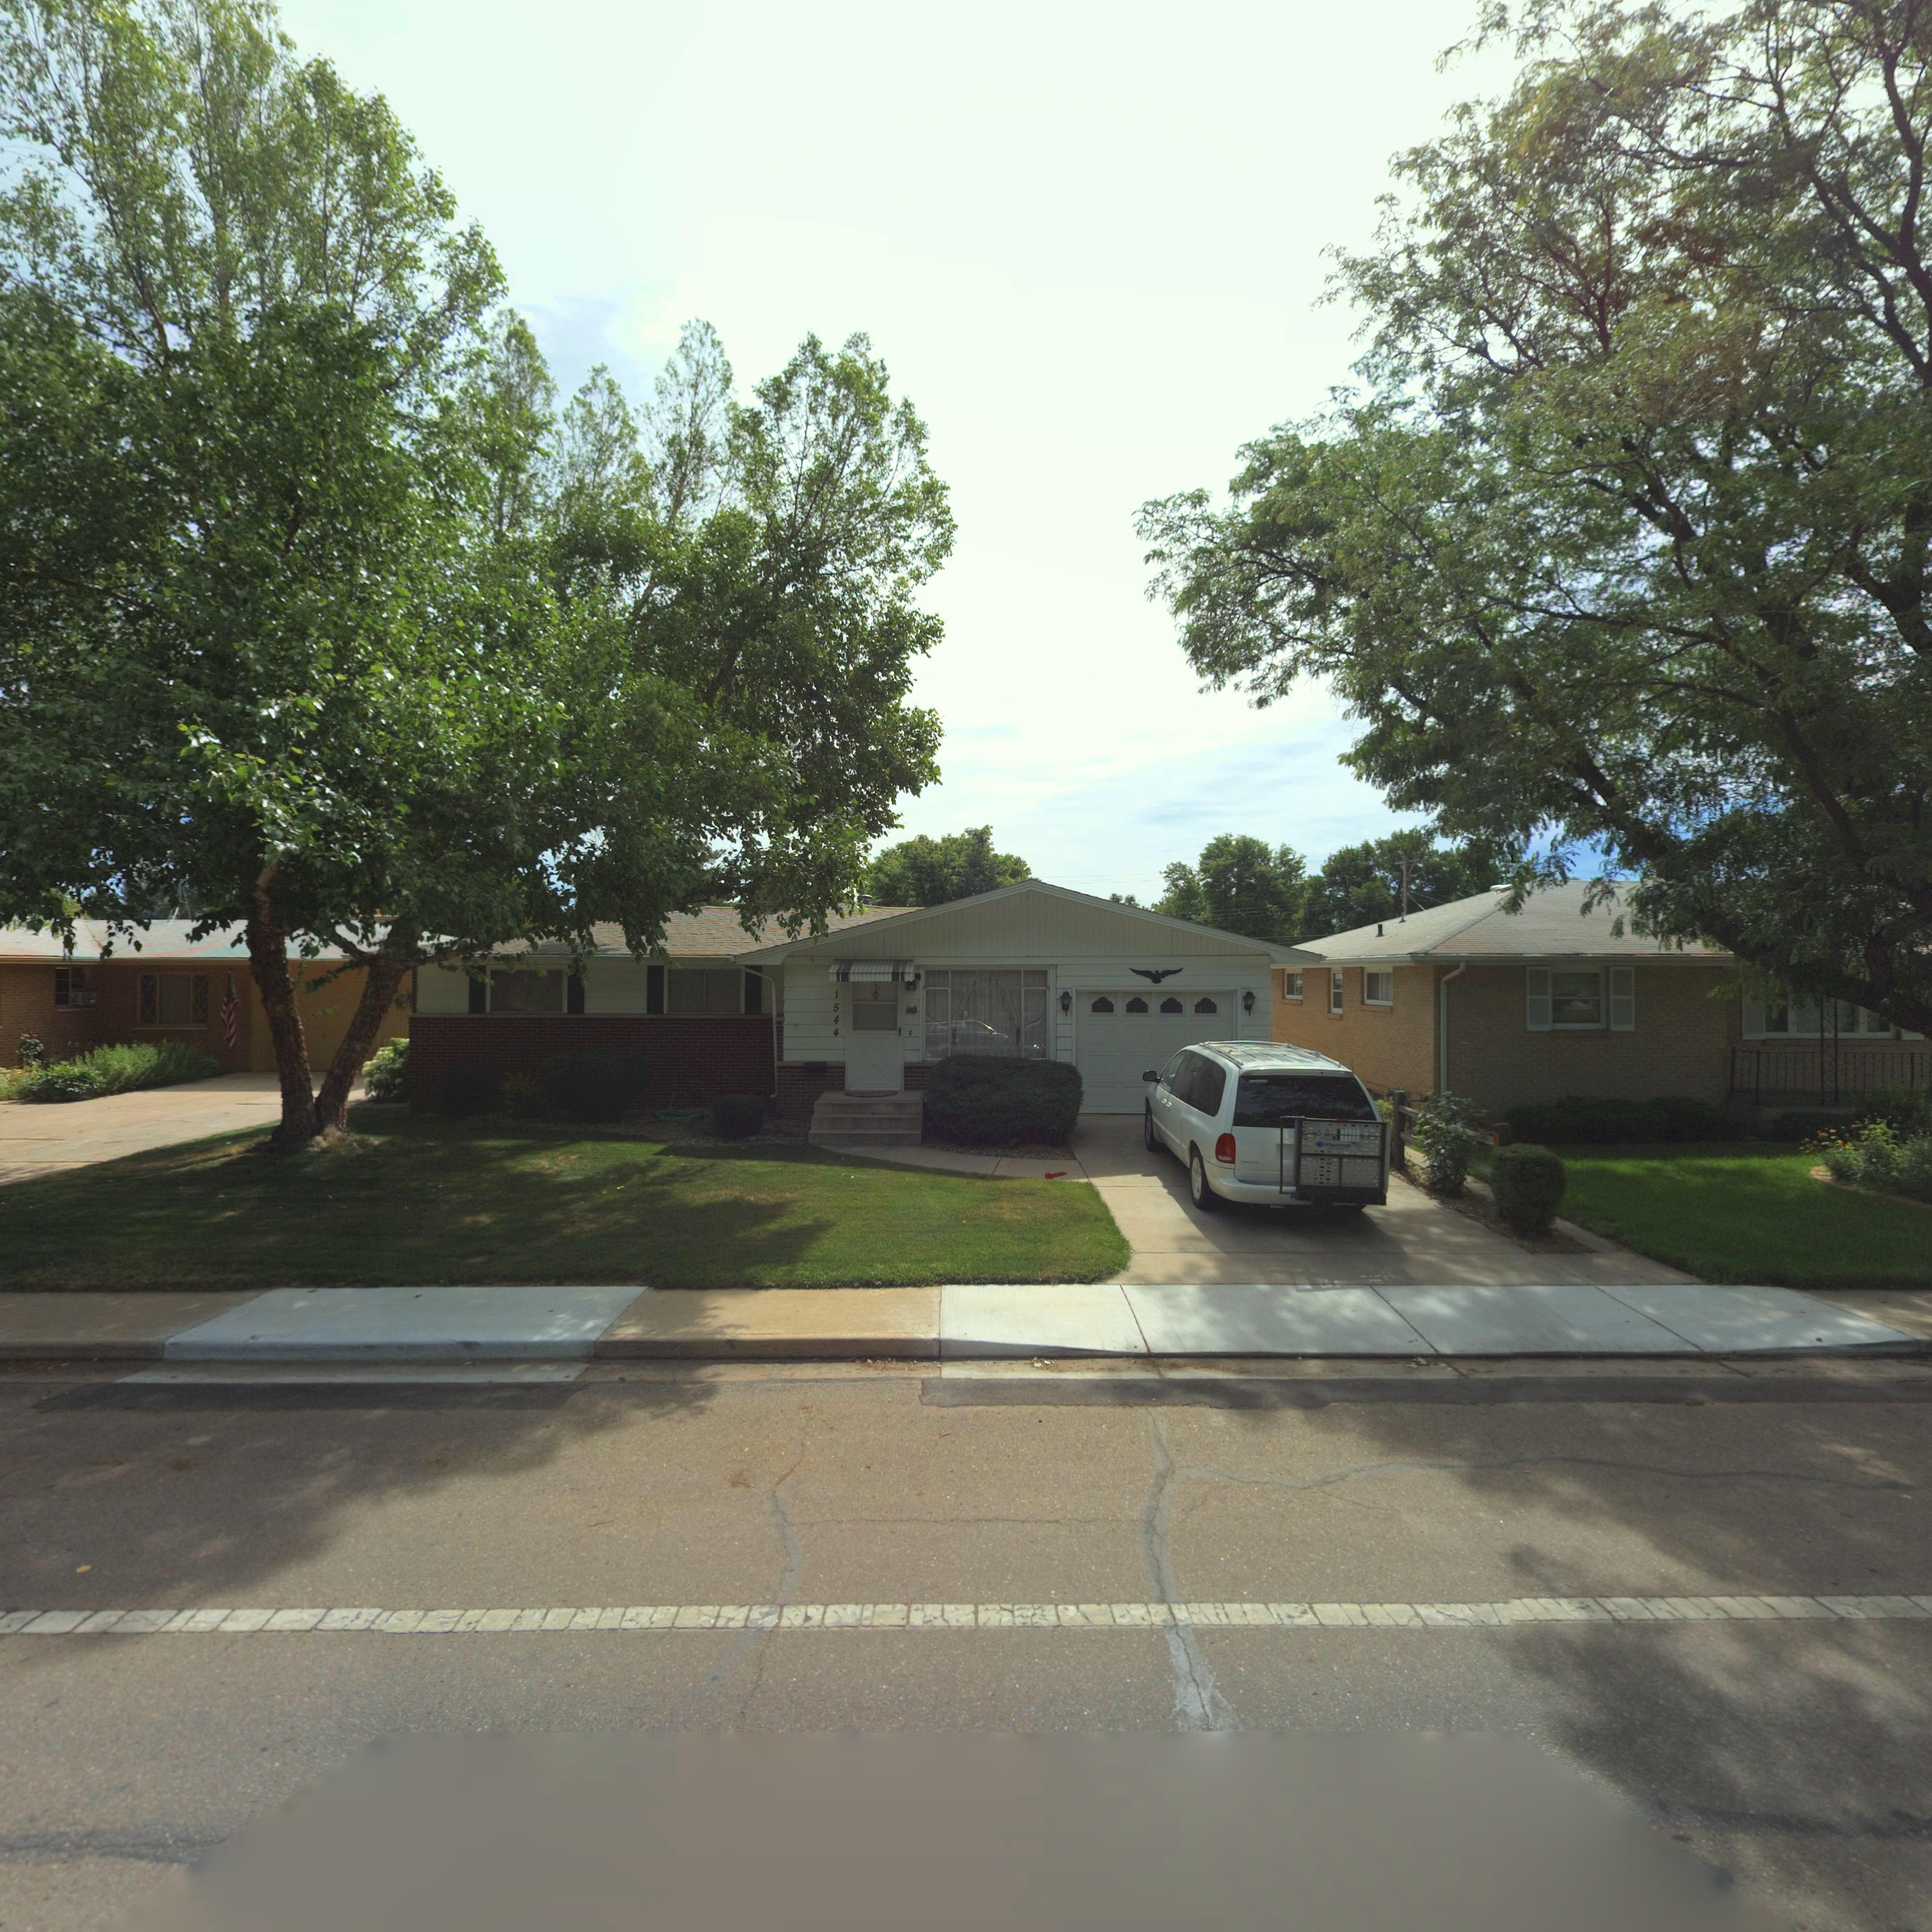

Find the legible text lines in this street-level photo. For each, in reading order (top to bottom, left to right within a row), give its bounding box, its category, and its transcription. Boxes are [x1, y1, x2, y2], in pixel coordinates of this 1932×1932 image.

[832, 990, 840, 1038] StreetNumber: 1544